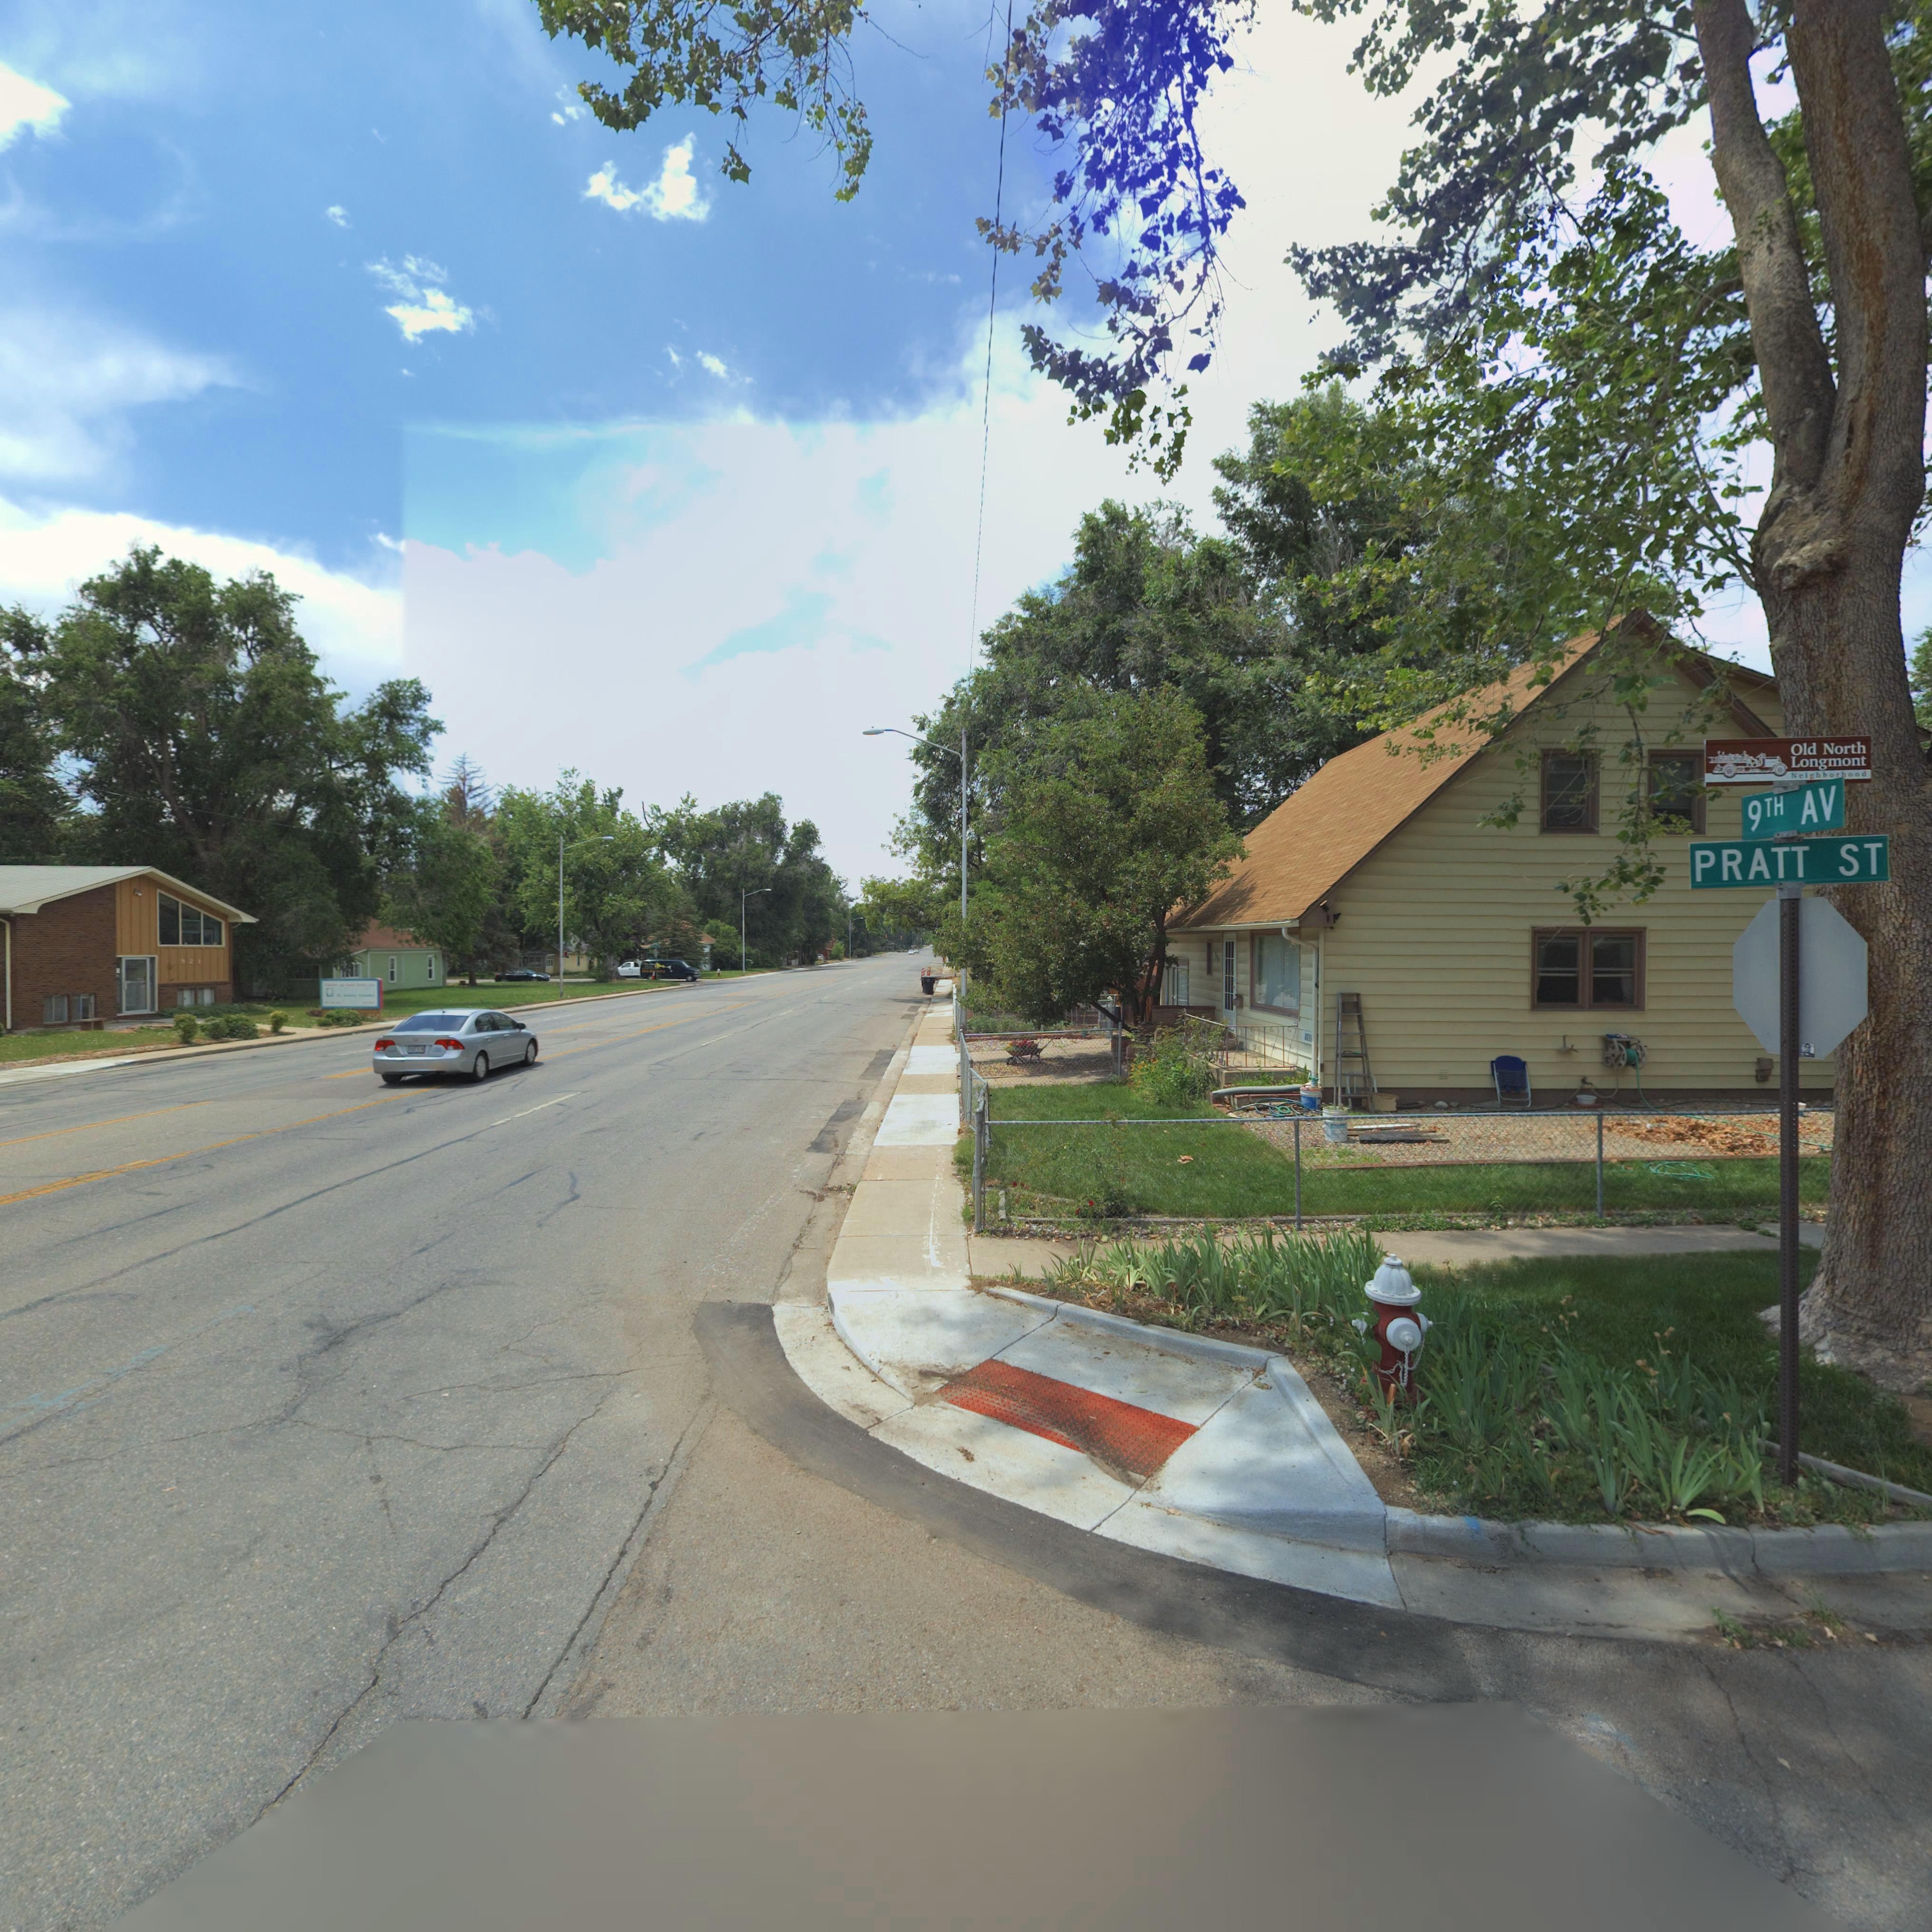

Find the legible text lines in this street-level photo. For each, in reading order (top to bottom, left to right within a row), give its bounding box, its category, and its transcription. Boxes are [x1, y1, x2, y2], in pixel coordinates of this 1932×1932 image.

[1748, 785, 1836, 832] StreetName: 9TH AV
[1694, 842, 1884, 882] StreetName: PRATT ST
[180, 958, 201, 964] StreetNumber: 921